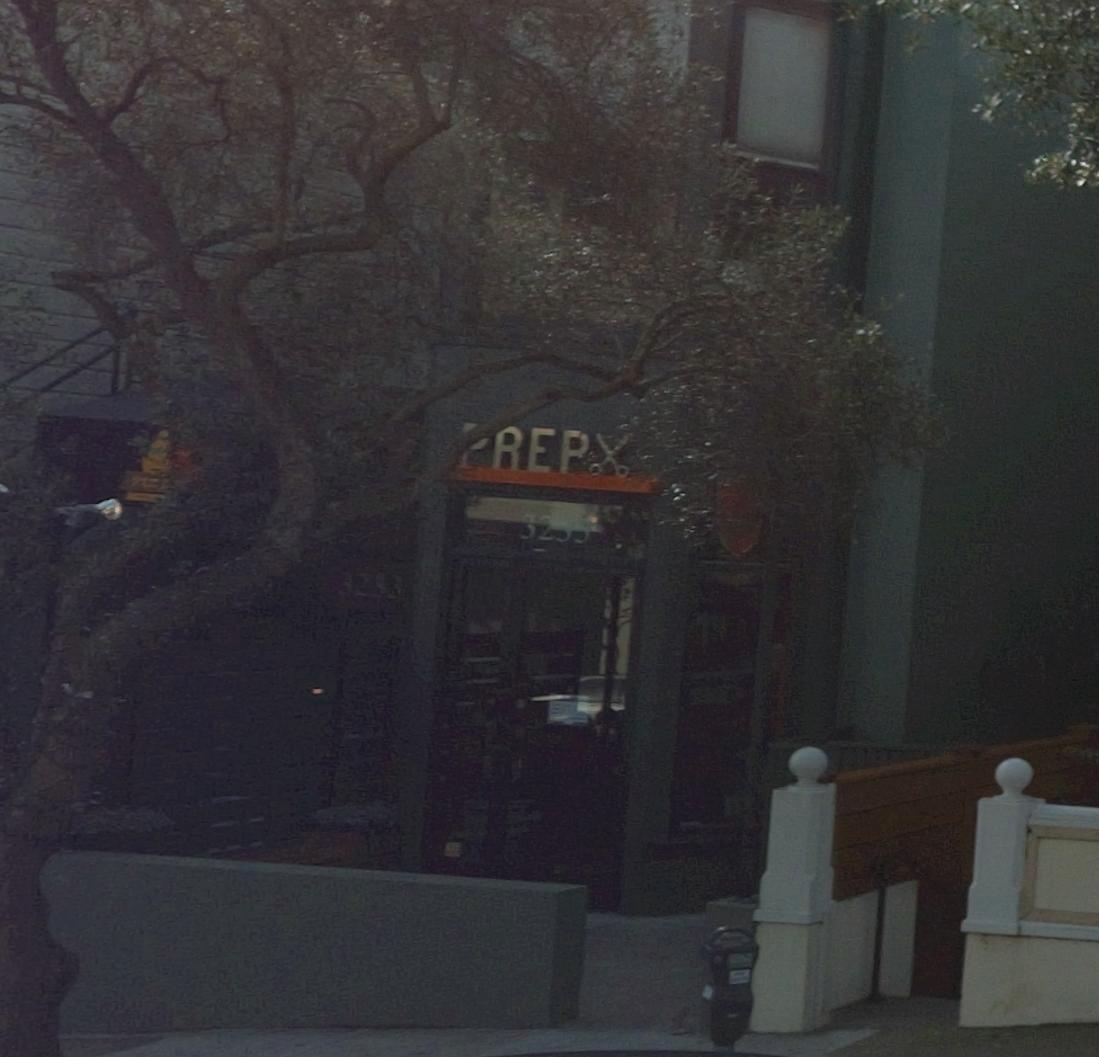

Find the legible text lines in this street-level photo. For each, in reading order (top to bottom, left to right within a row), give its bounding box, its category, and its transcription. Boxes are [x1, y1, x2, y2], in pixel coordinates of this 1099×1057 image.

[488, 417, 594, 478] BusinessName: REP
[517, 510, 594, 548] StreetNumber: 32*5
[332, 564, 407, 603] StreetNumber: 3233